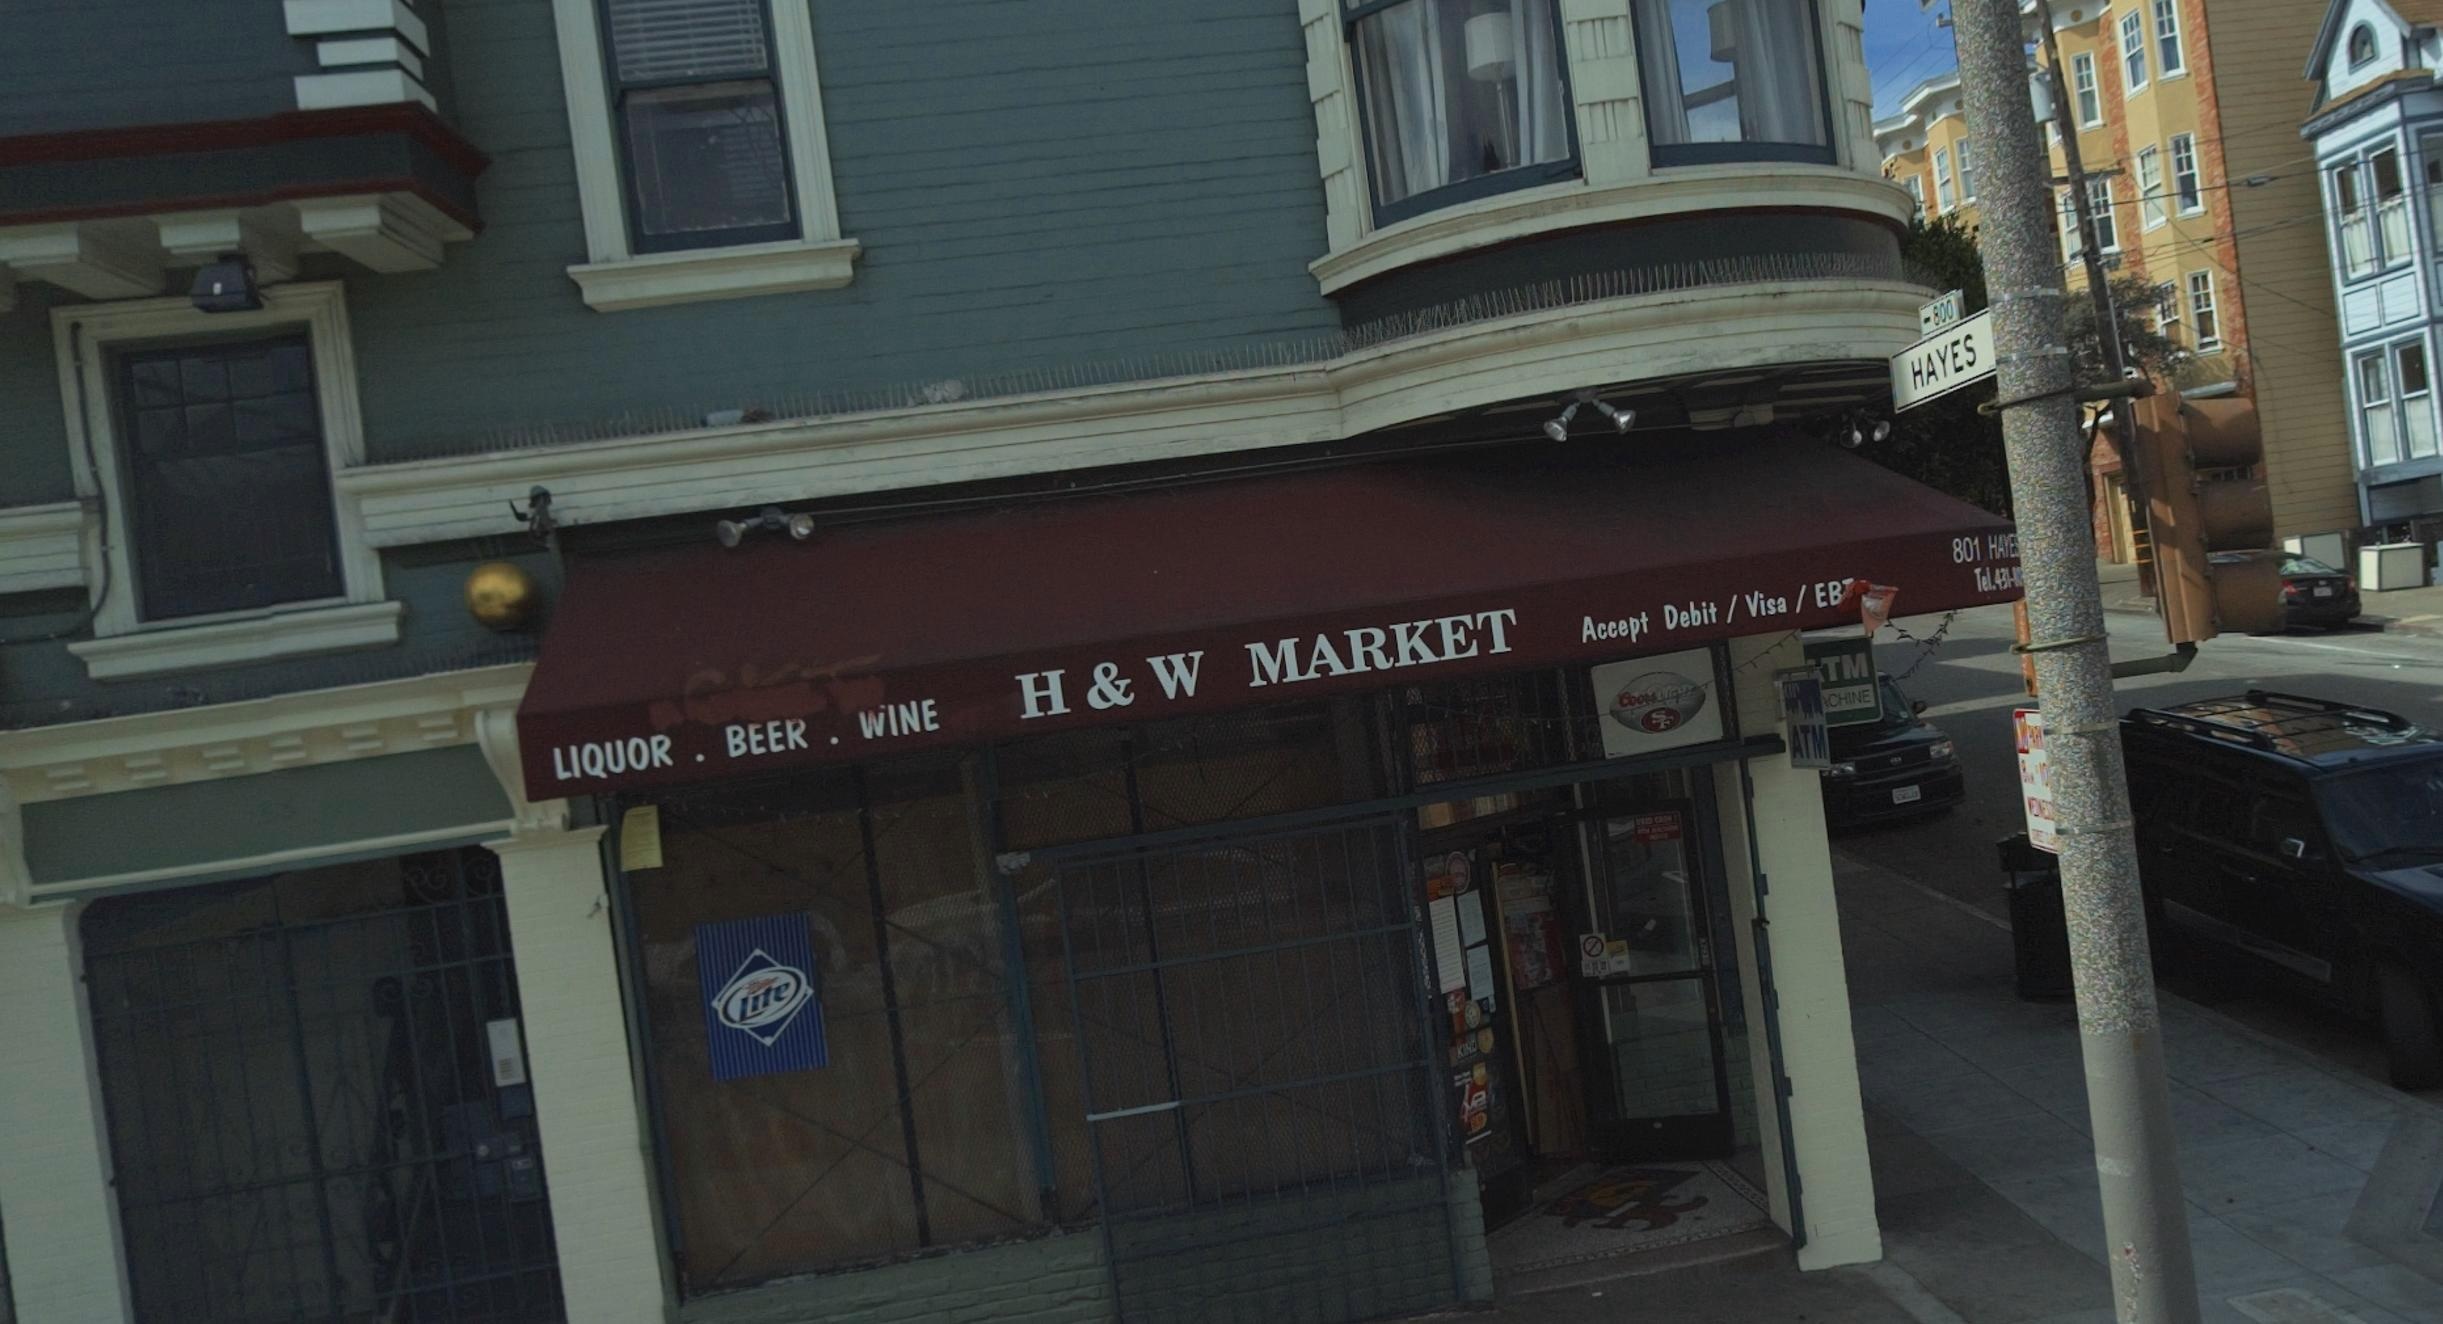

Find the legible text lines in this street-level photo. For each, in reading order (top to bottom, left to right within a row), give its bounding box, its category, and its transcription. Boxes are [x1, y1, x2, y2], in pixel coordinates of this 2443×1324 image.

[1919, 295, 1955, 329] StreetNumberRange: <-800
[1905, 329, 1980, 394] StreetName: HAYES
[1949, 531, 1985, 567] StreetNumber: 801
[1986, 531, 2022, 563] StreetName: HAYE*
[1969, 562, 2025, 596] None: Tel.431-**
[1579, 574, 1859, 646] None: Accept Debit / Visa / EB*
[1010, 604, 1523, 723] BusinessName: H & W MARKET
[1814, 650, 1872, 684] None: TM
[1616, 683, 1698, 710] None: CoorsLIGHT
[1826, 688, 1872, 709] None: CHINE
[1648, 707, 1669, 726] None: S
[547, 693, 944, 783] None: LIQUOR . BEER . WINE
[1790, 722, 1830, 761] None: ATM
[736, 980, 793, 1028] None: Lite
[1455, 1037, 1479, 1061] None: KIND